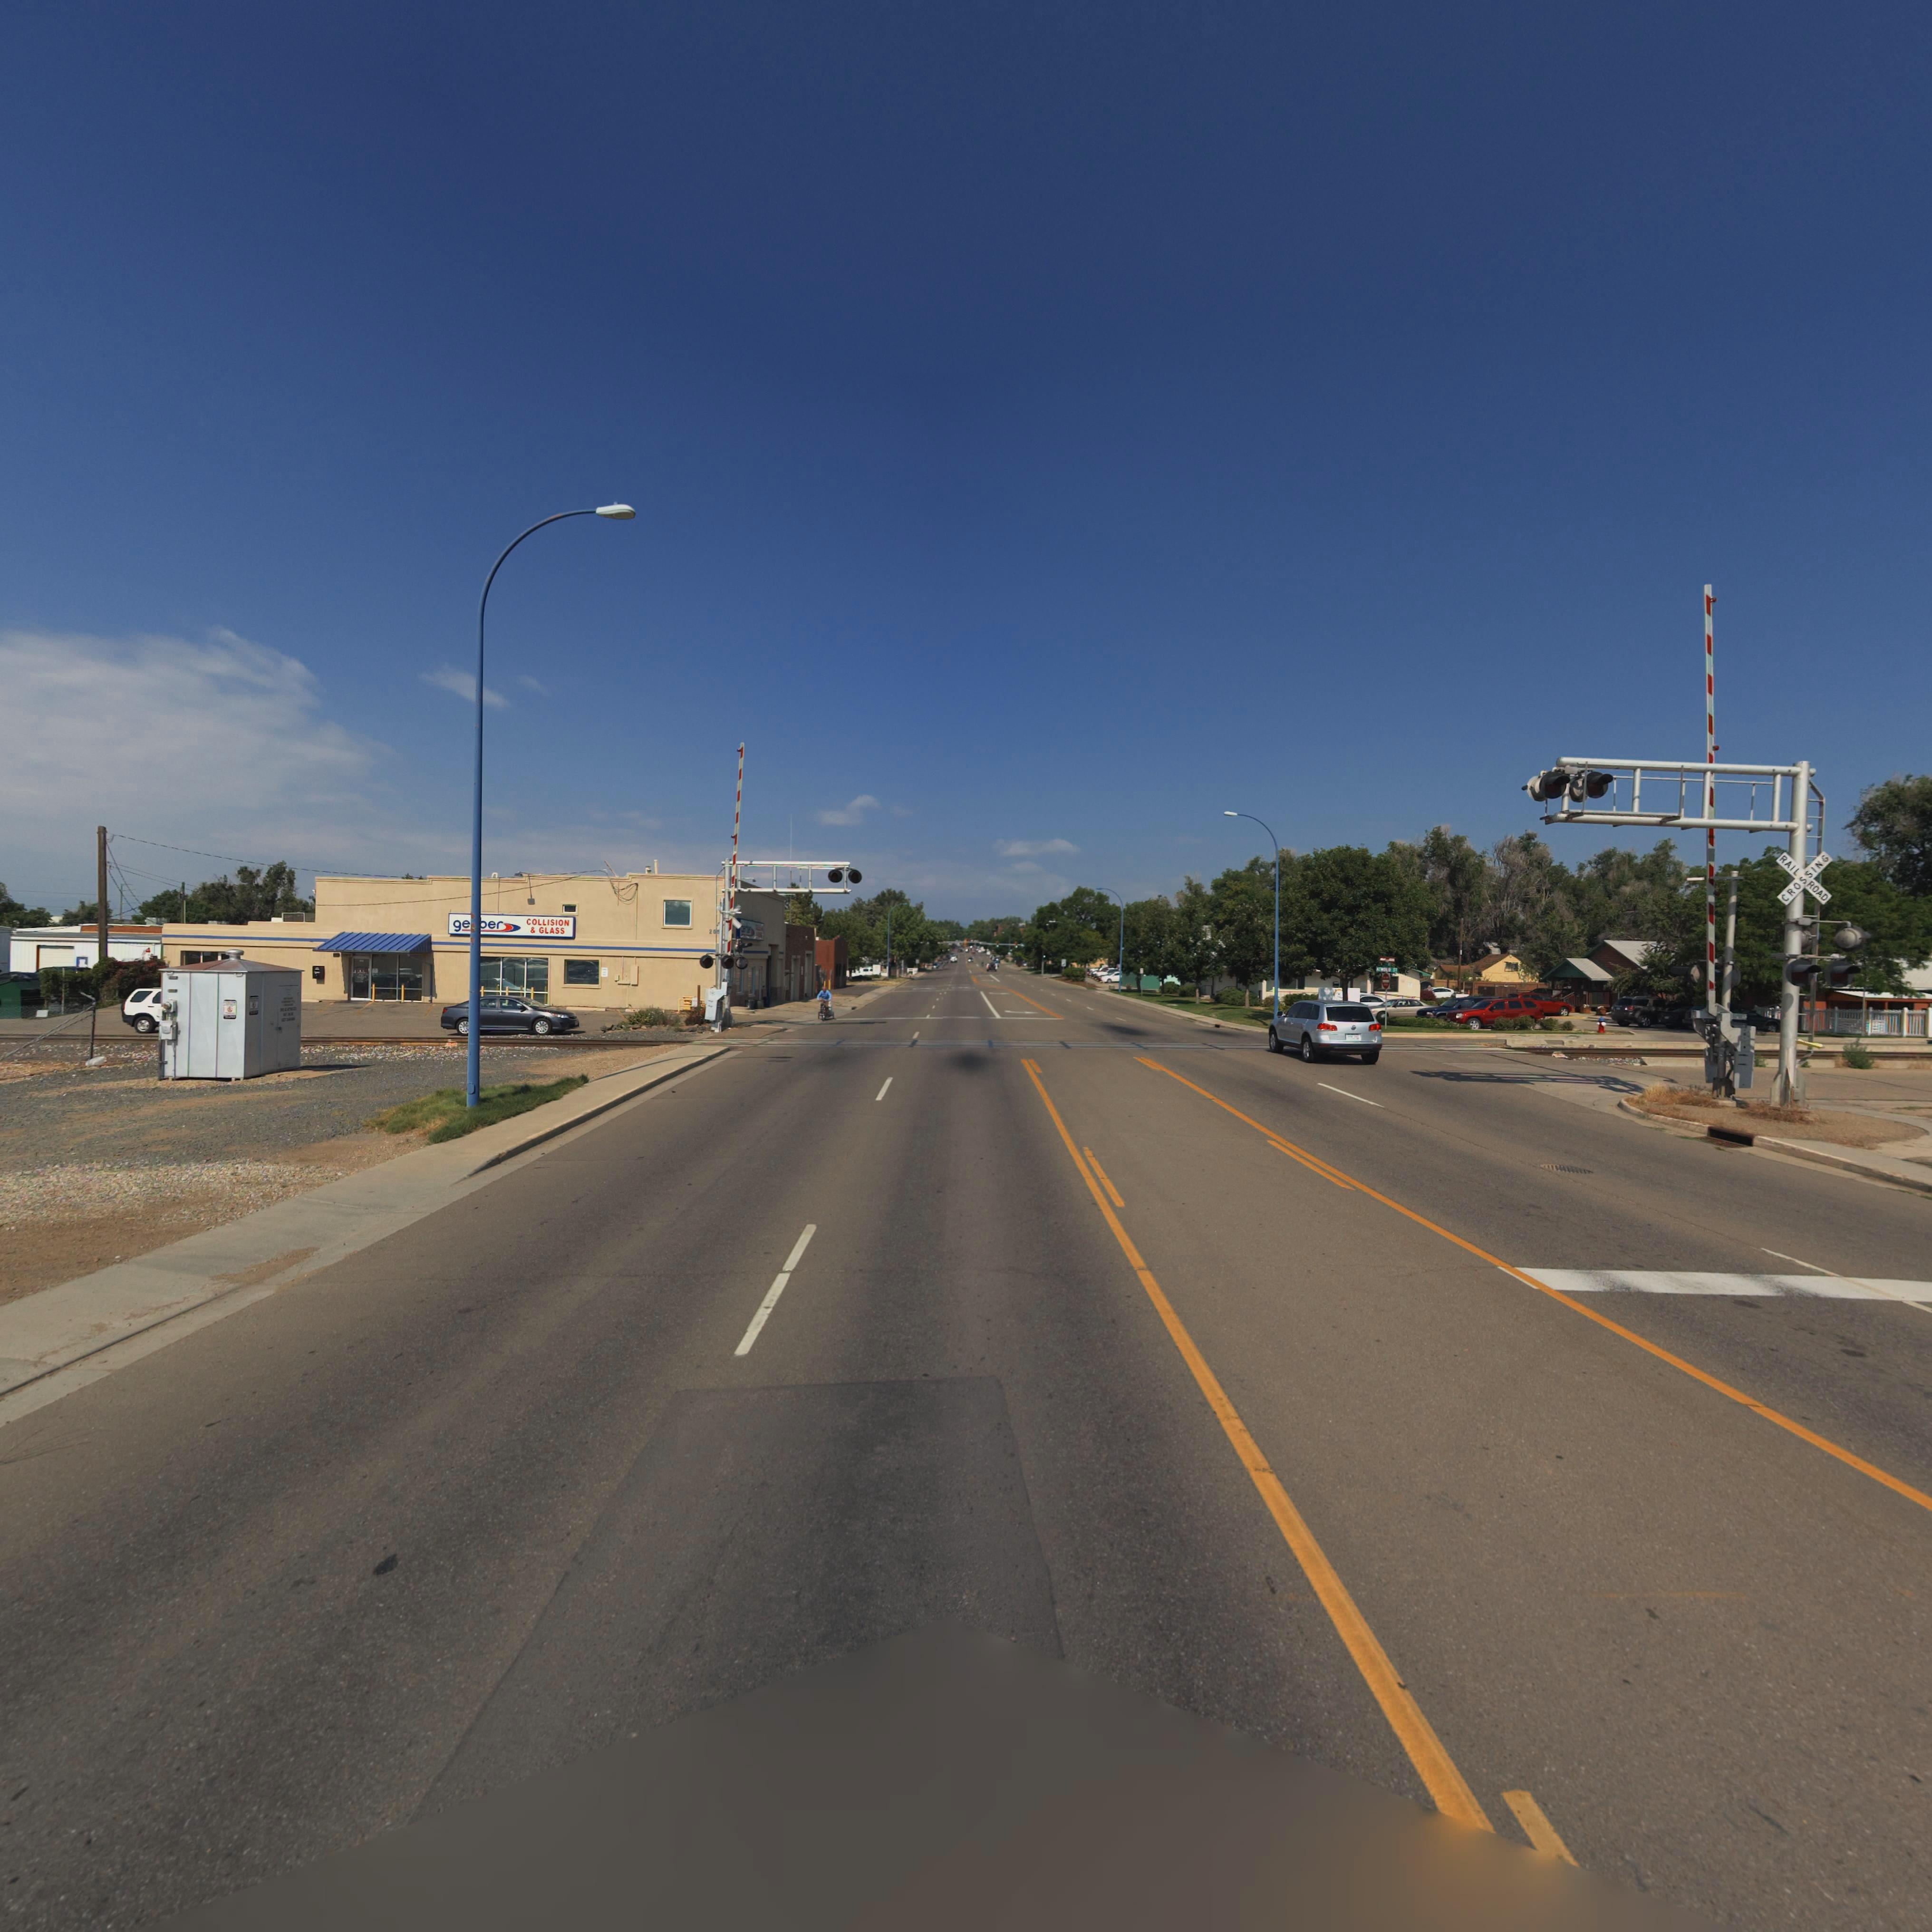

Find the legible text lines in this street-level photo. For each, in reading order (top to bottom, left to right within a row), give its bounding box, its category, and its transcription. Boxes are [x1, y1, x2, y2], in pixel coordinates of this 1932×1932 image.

[453, 917, 504, 932] BusinessName: ge**er
[526, 918, 570, 926] BusinessName: COLLISION
[530, 926, 565, 934] BusinessName: & GLASS
[708, 929, 720, 934] StreetNumber: 2*5
[739, 921, 752, 937] BusinessName: ger*e*
[1376, 966, 1398, 972] StreetName: A****D ST